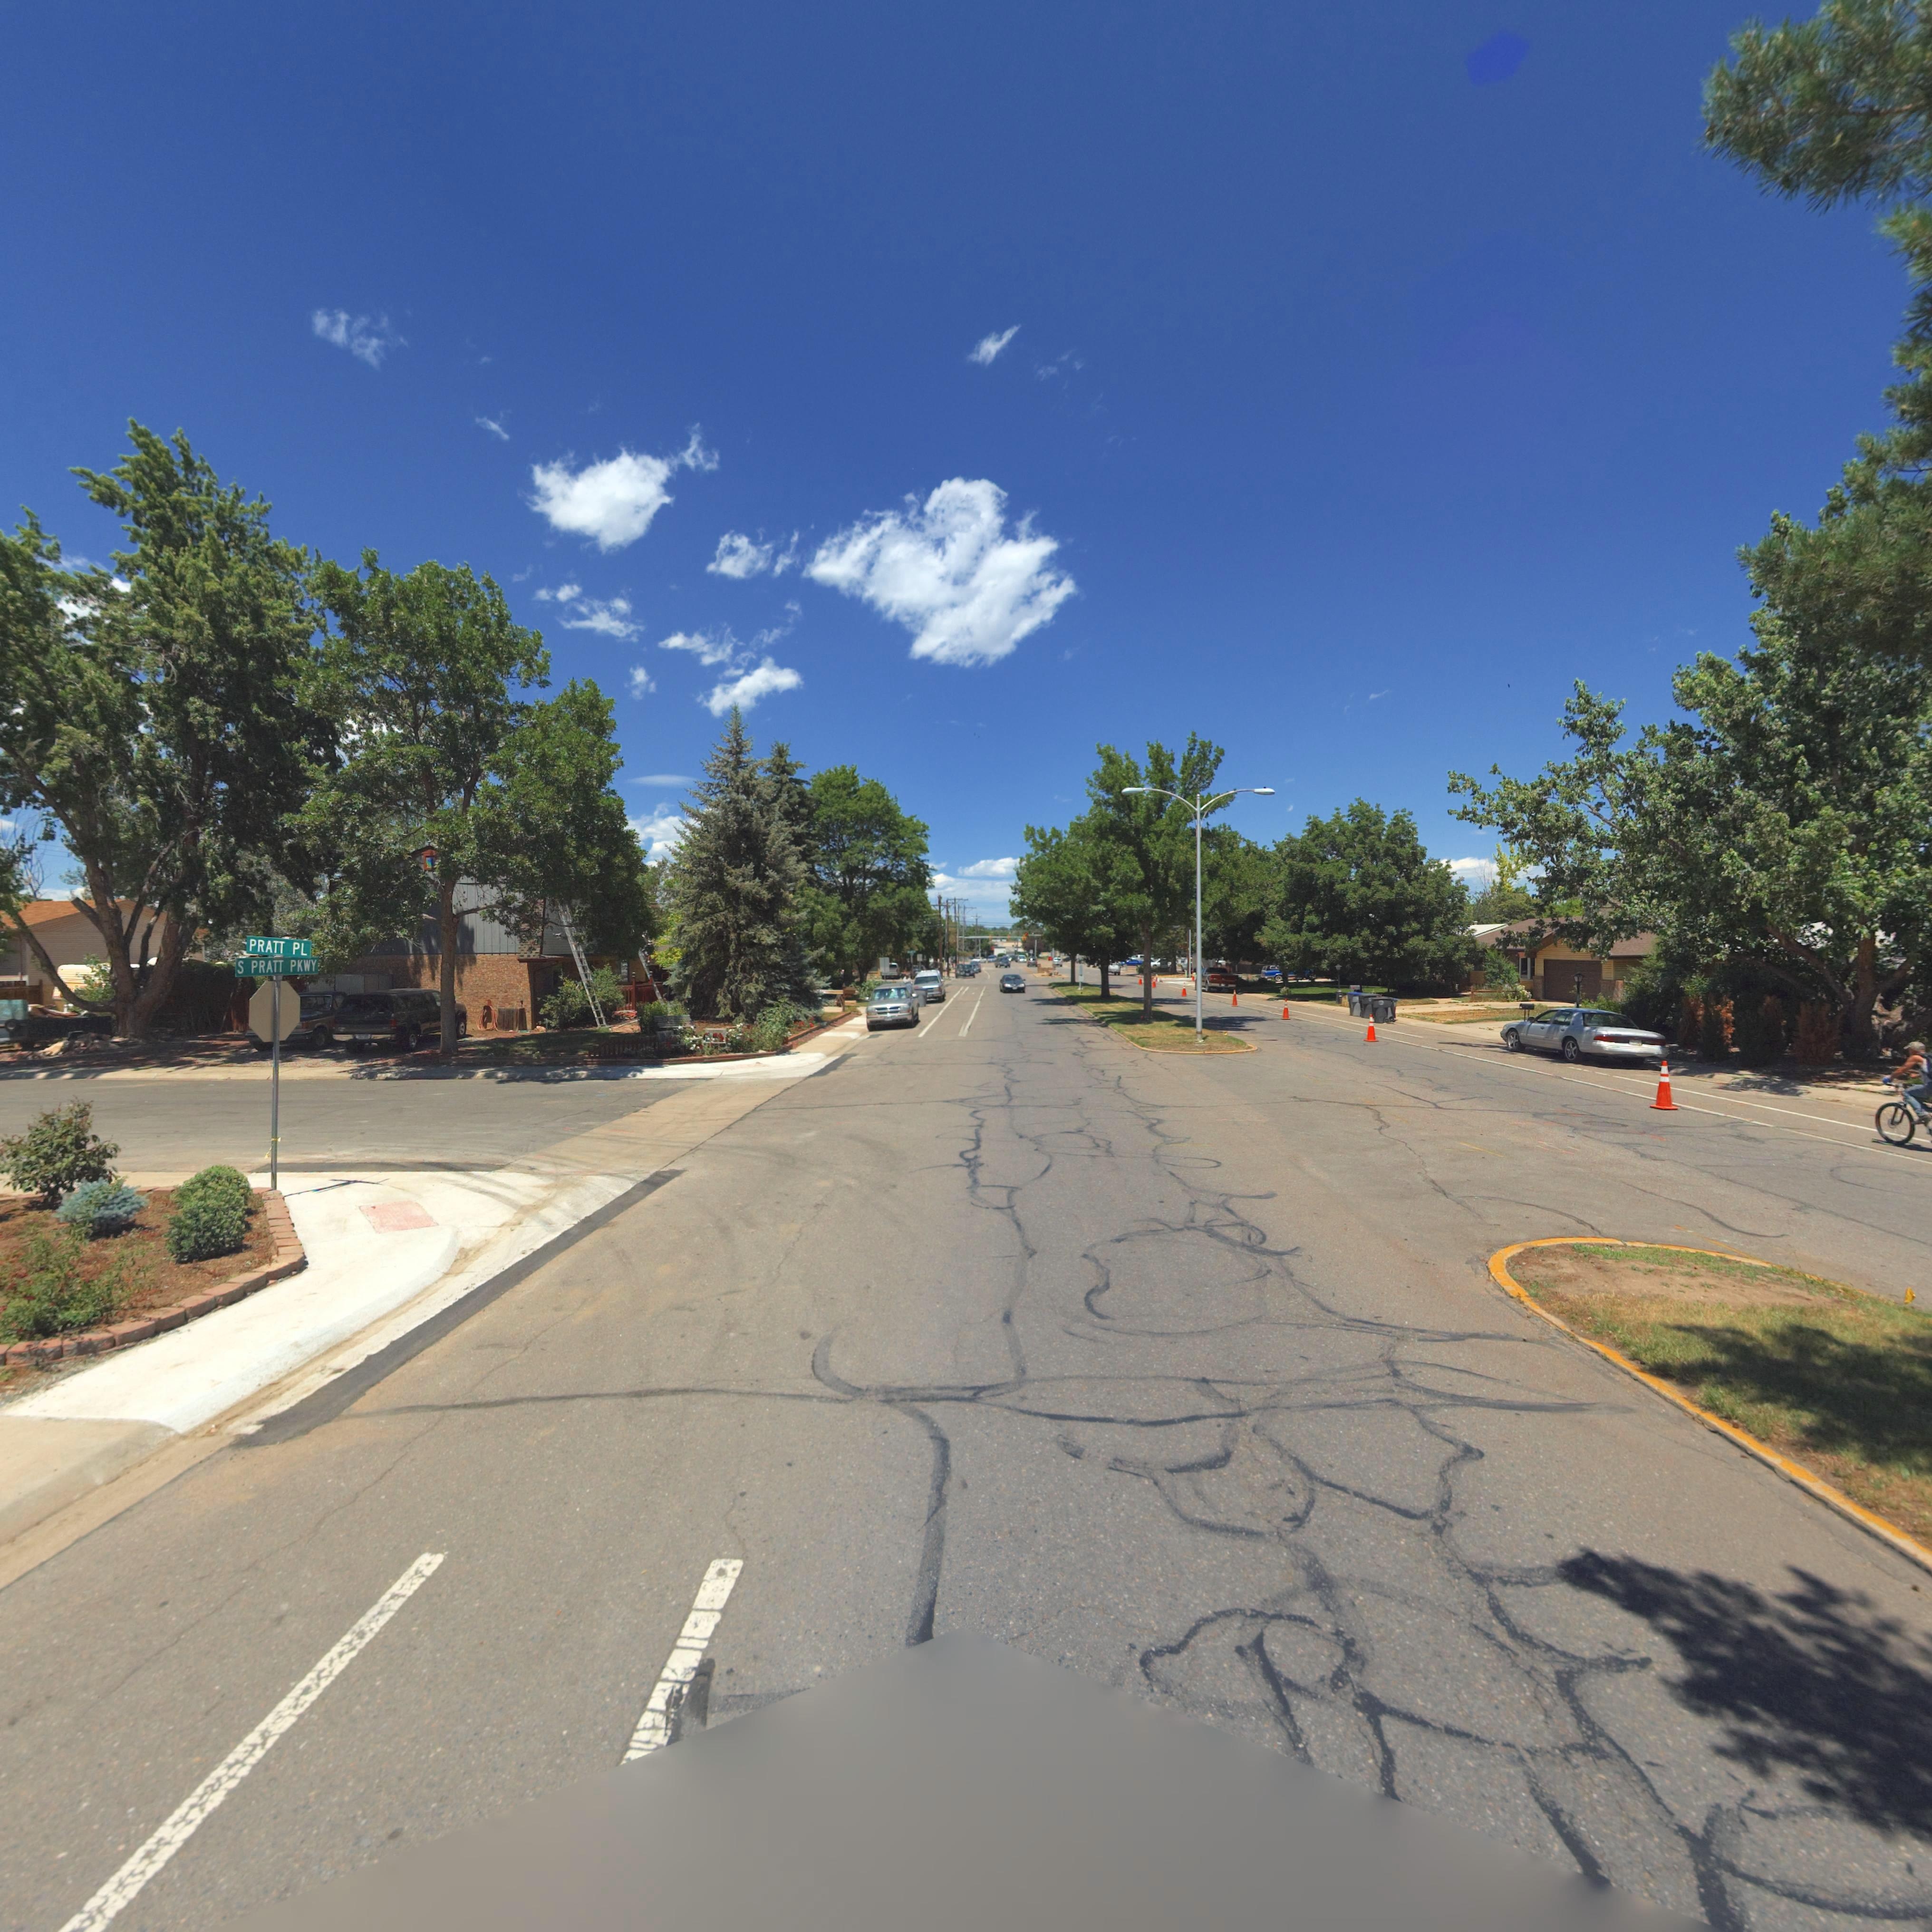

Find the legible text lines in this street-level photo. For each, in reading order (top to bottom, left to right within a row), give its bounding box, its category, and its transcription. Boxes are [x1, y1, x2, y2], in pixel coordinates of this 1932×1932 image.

[249, 938, 308, 956] StreetName: PRATT PL
[237, 959, 318, 974] StreetName: S PRATT PKWY